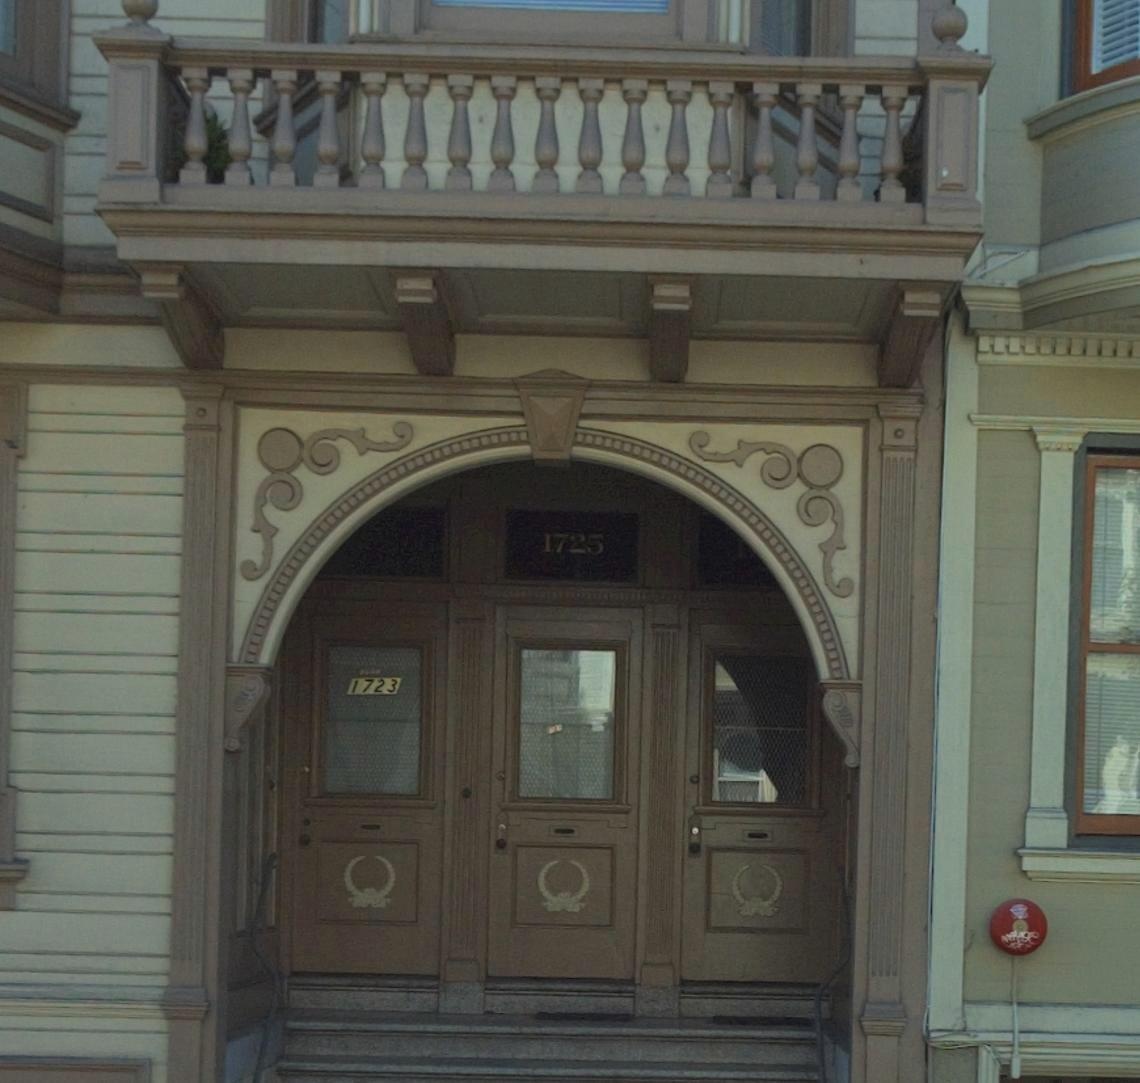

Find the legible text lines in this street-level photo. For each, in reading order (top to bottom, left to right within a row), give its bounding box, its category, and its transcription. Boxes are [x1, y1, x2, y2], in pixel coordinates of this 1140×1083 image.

[540, 529, 608, 557] StreetNumber: 1725
[349, 678, 401, 694] StreetNumber: 1723